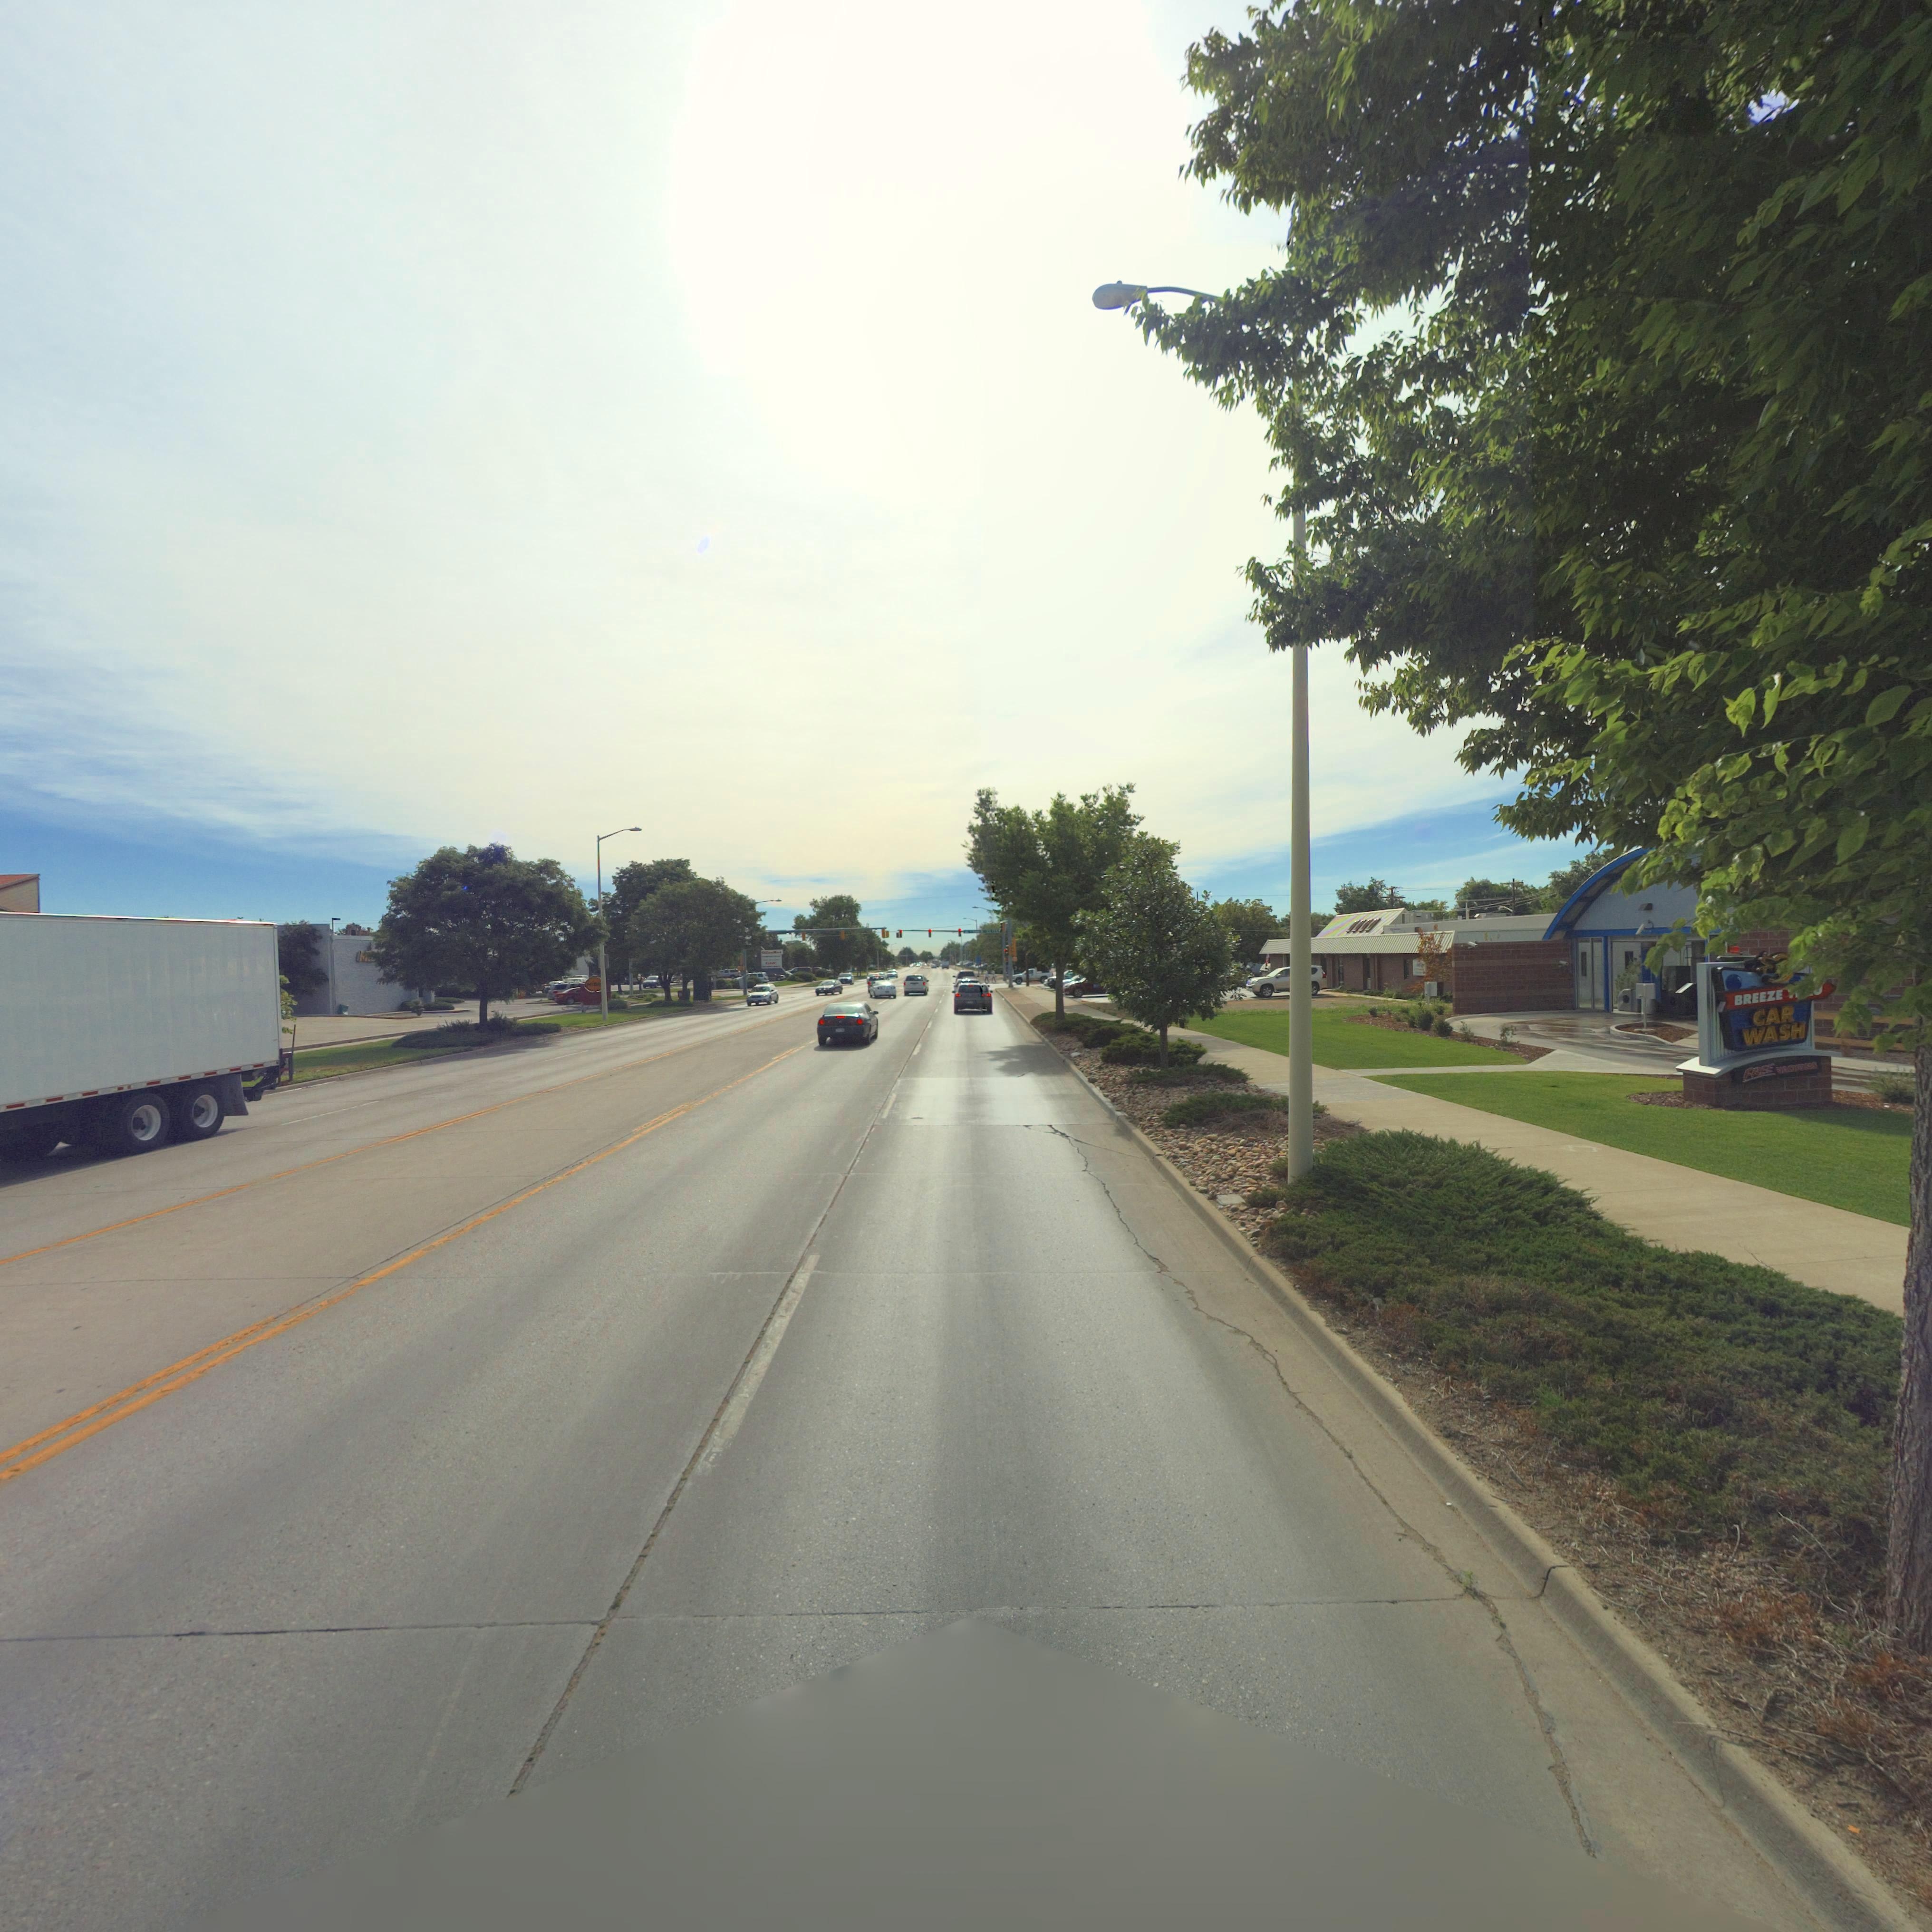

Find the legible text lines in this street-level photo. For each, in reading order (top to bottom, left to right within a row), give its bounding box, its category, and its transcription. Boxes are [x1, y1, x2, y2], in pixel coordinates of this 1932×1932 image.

[358, 949, 368, 961] BusinessName: M
[761, 950, 782, 954] BusinessName: O***** M**
[765, 961, 778, 965] BusinessName: GNC
[587, 980, 601, 986] BusinessName: MI**
[1734, 988, 1784, 1006] BusinessName: BREEZE
[1751, 1005, 1796, 1026] BusinessName: CAR
[1740, 1019, 1806, 1046] BusinessName: WASH